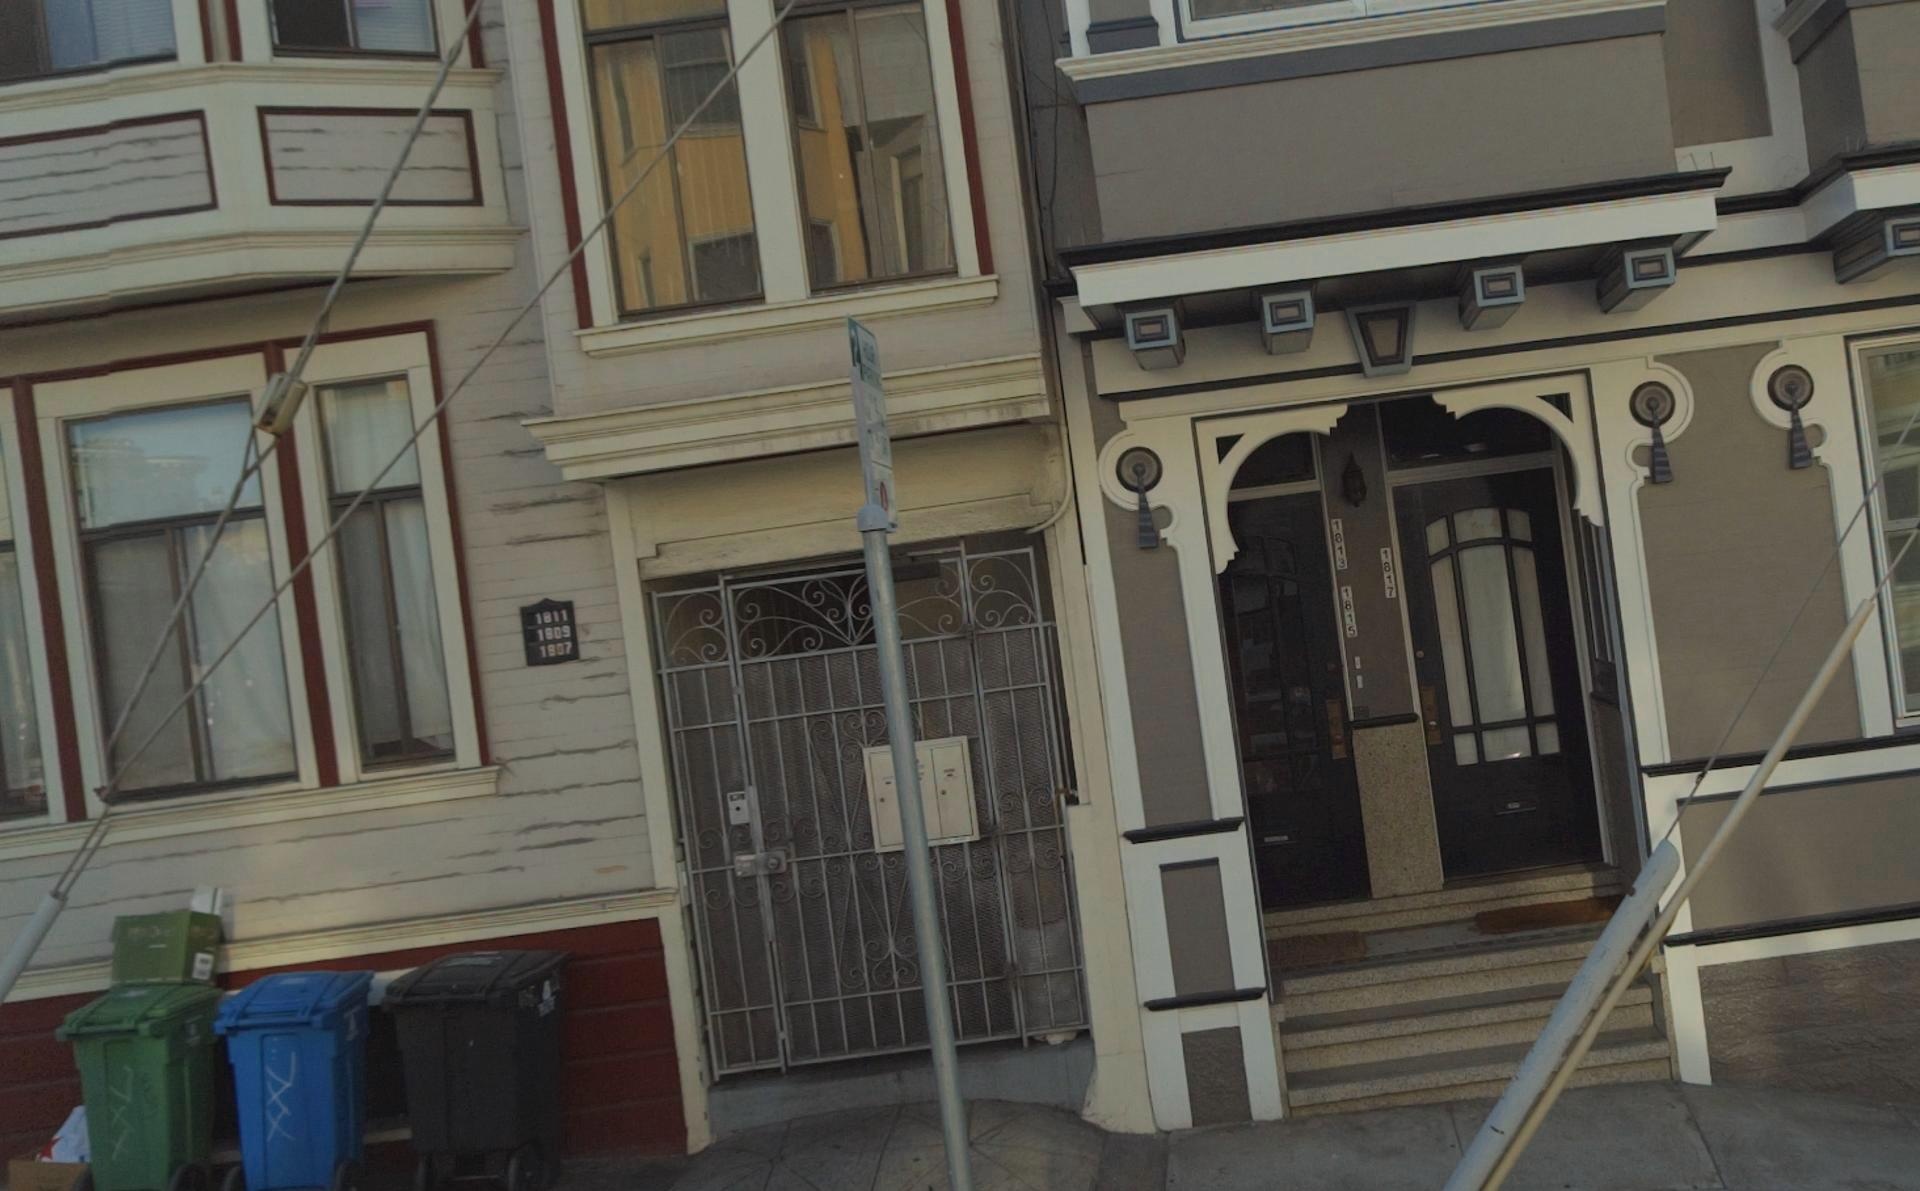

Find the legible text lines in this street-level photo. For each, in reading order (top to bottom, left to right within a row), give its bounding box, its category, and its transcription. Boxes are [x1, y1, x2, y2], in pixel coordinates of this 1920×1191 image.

[1331, 519, 1347, 570] StreetNumber: 1813
[1380, 548, 1396, 598] StreetNumber: 1817
[534, 606, 570, 627] StreetNumber: 1811
[535, 622, 572, 644] StreetNumber: 1809
[538, 638, 573, 660] StreetNumber: 1807
[1339, 586, 1358, 638] StreetNumber: 1815